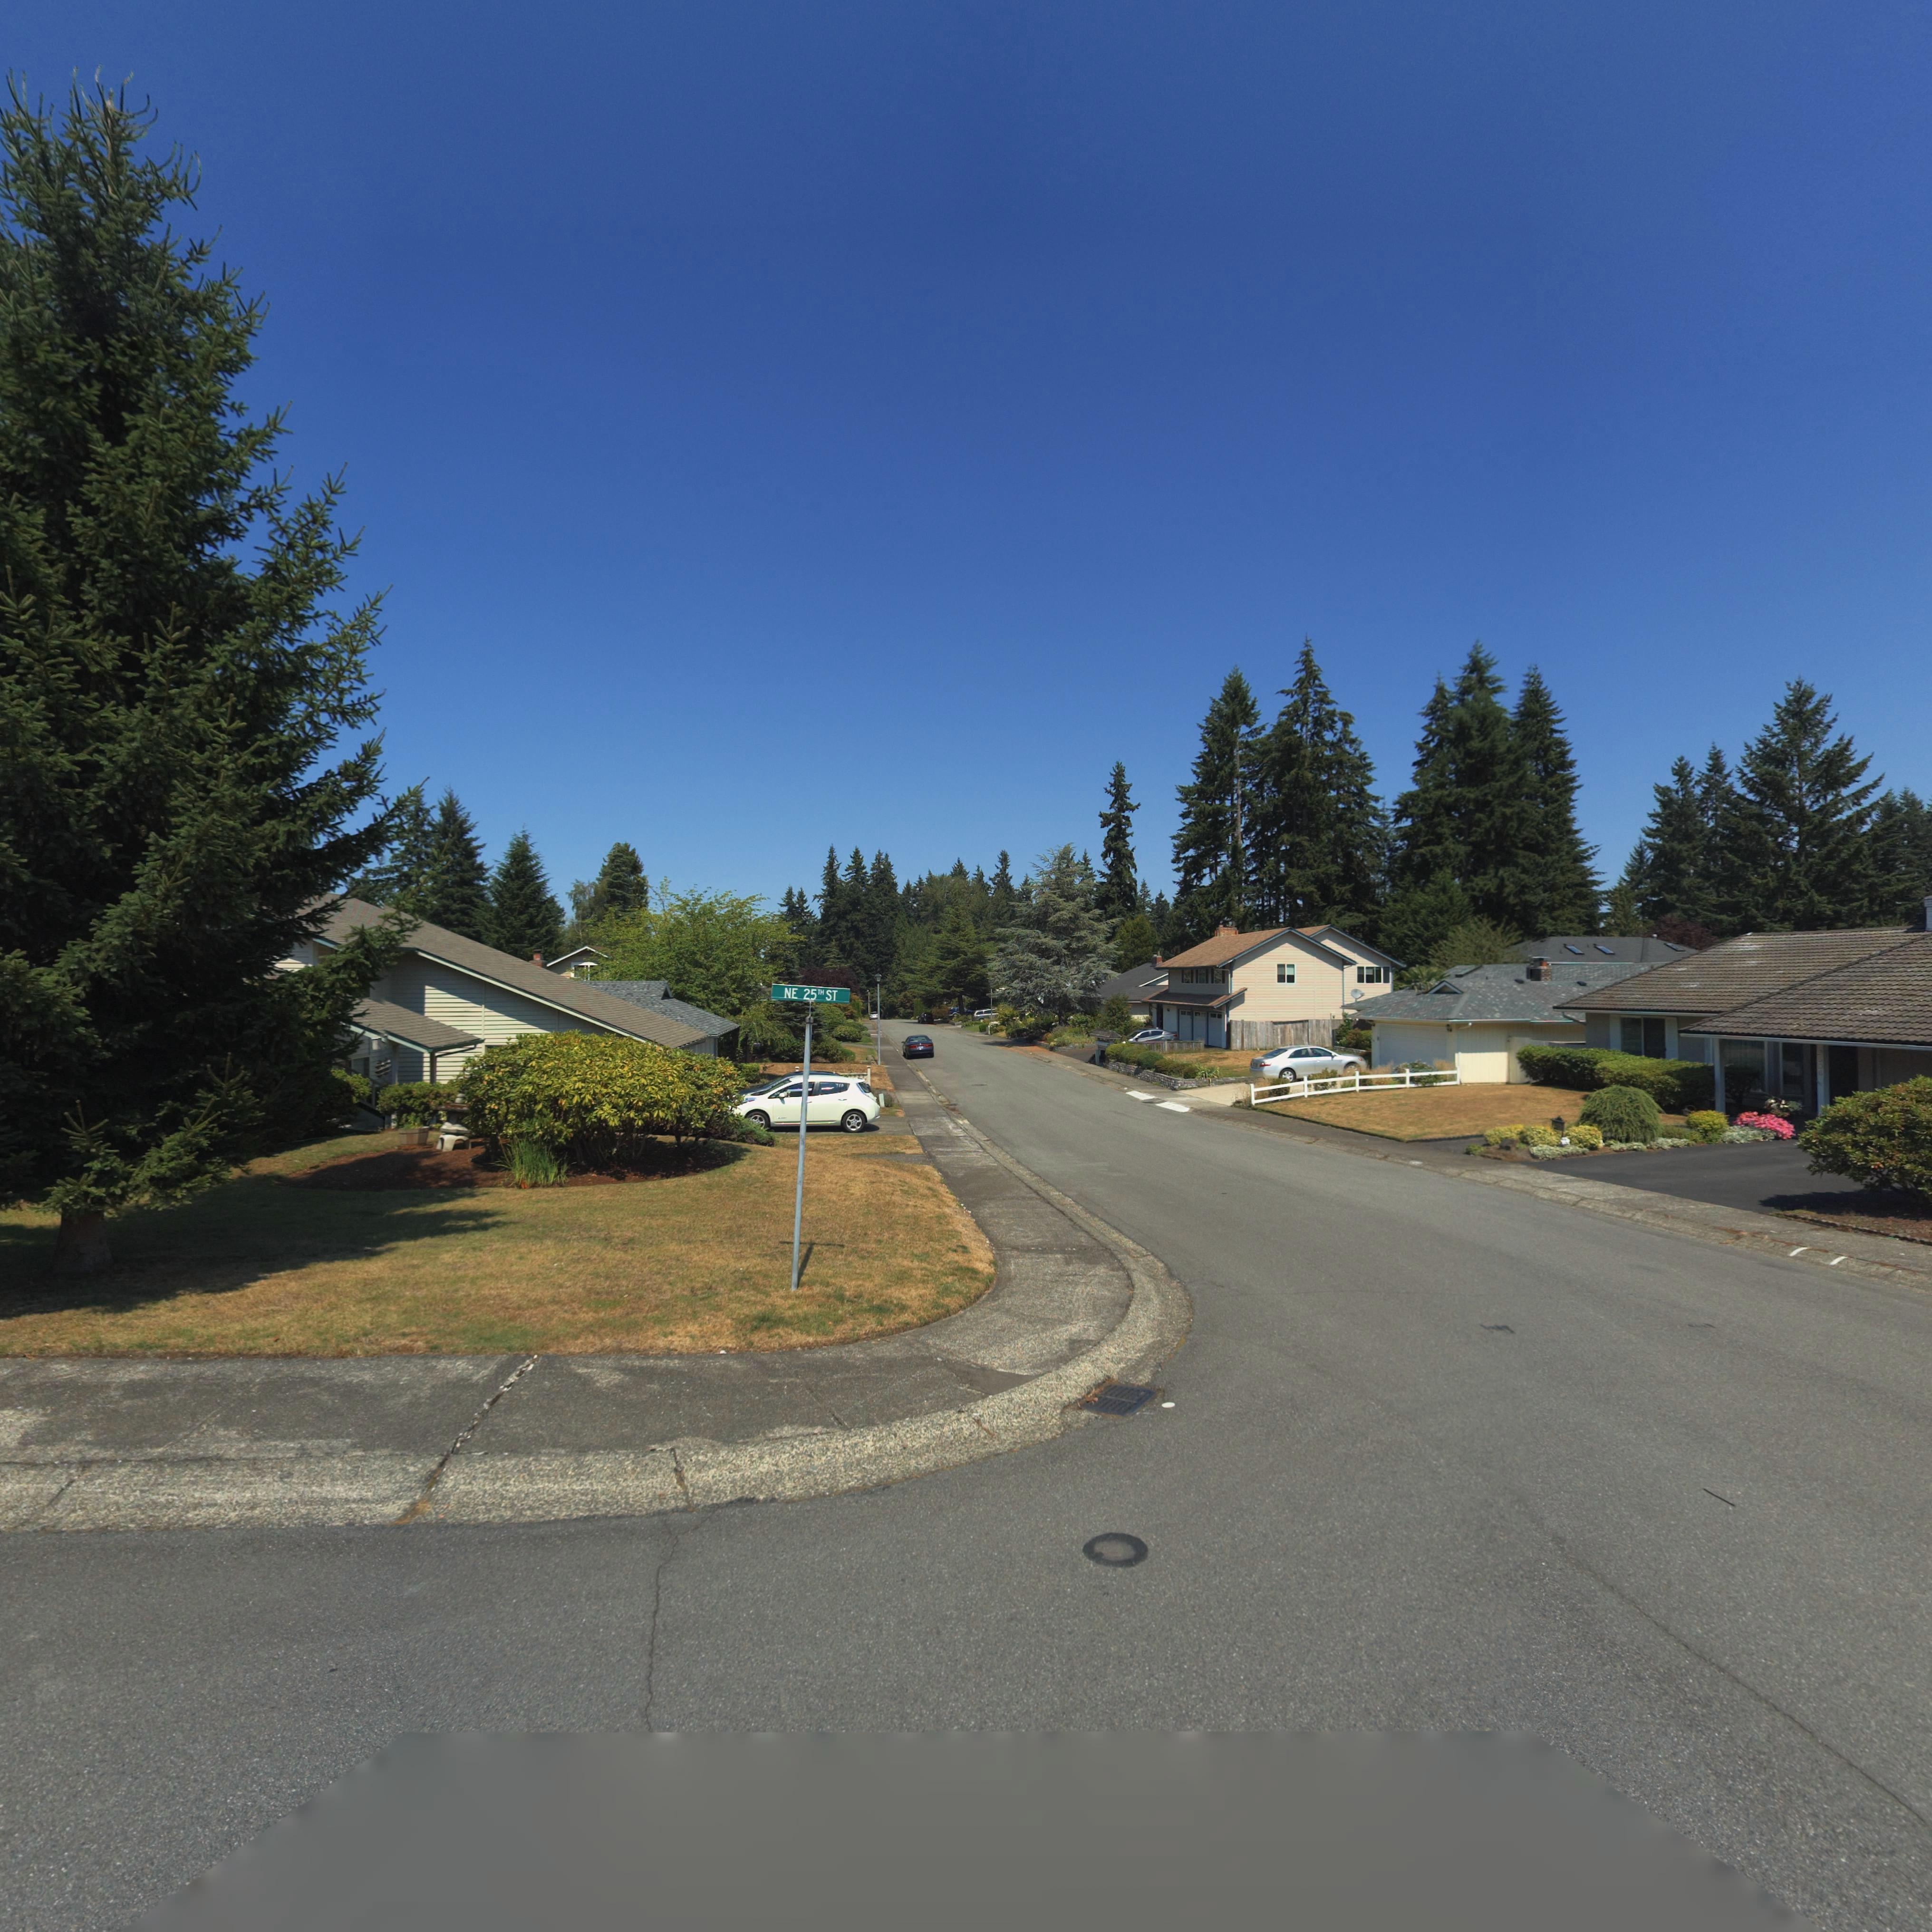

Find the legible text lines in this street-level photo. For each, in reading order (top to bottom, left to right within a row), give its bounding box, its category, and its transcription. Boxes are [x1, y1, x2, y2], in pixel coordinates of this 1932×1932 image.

[784, 987, 837, 1000] StreetName: NE 25 TH ST